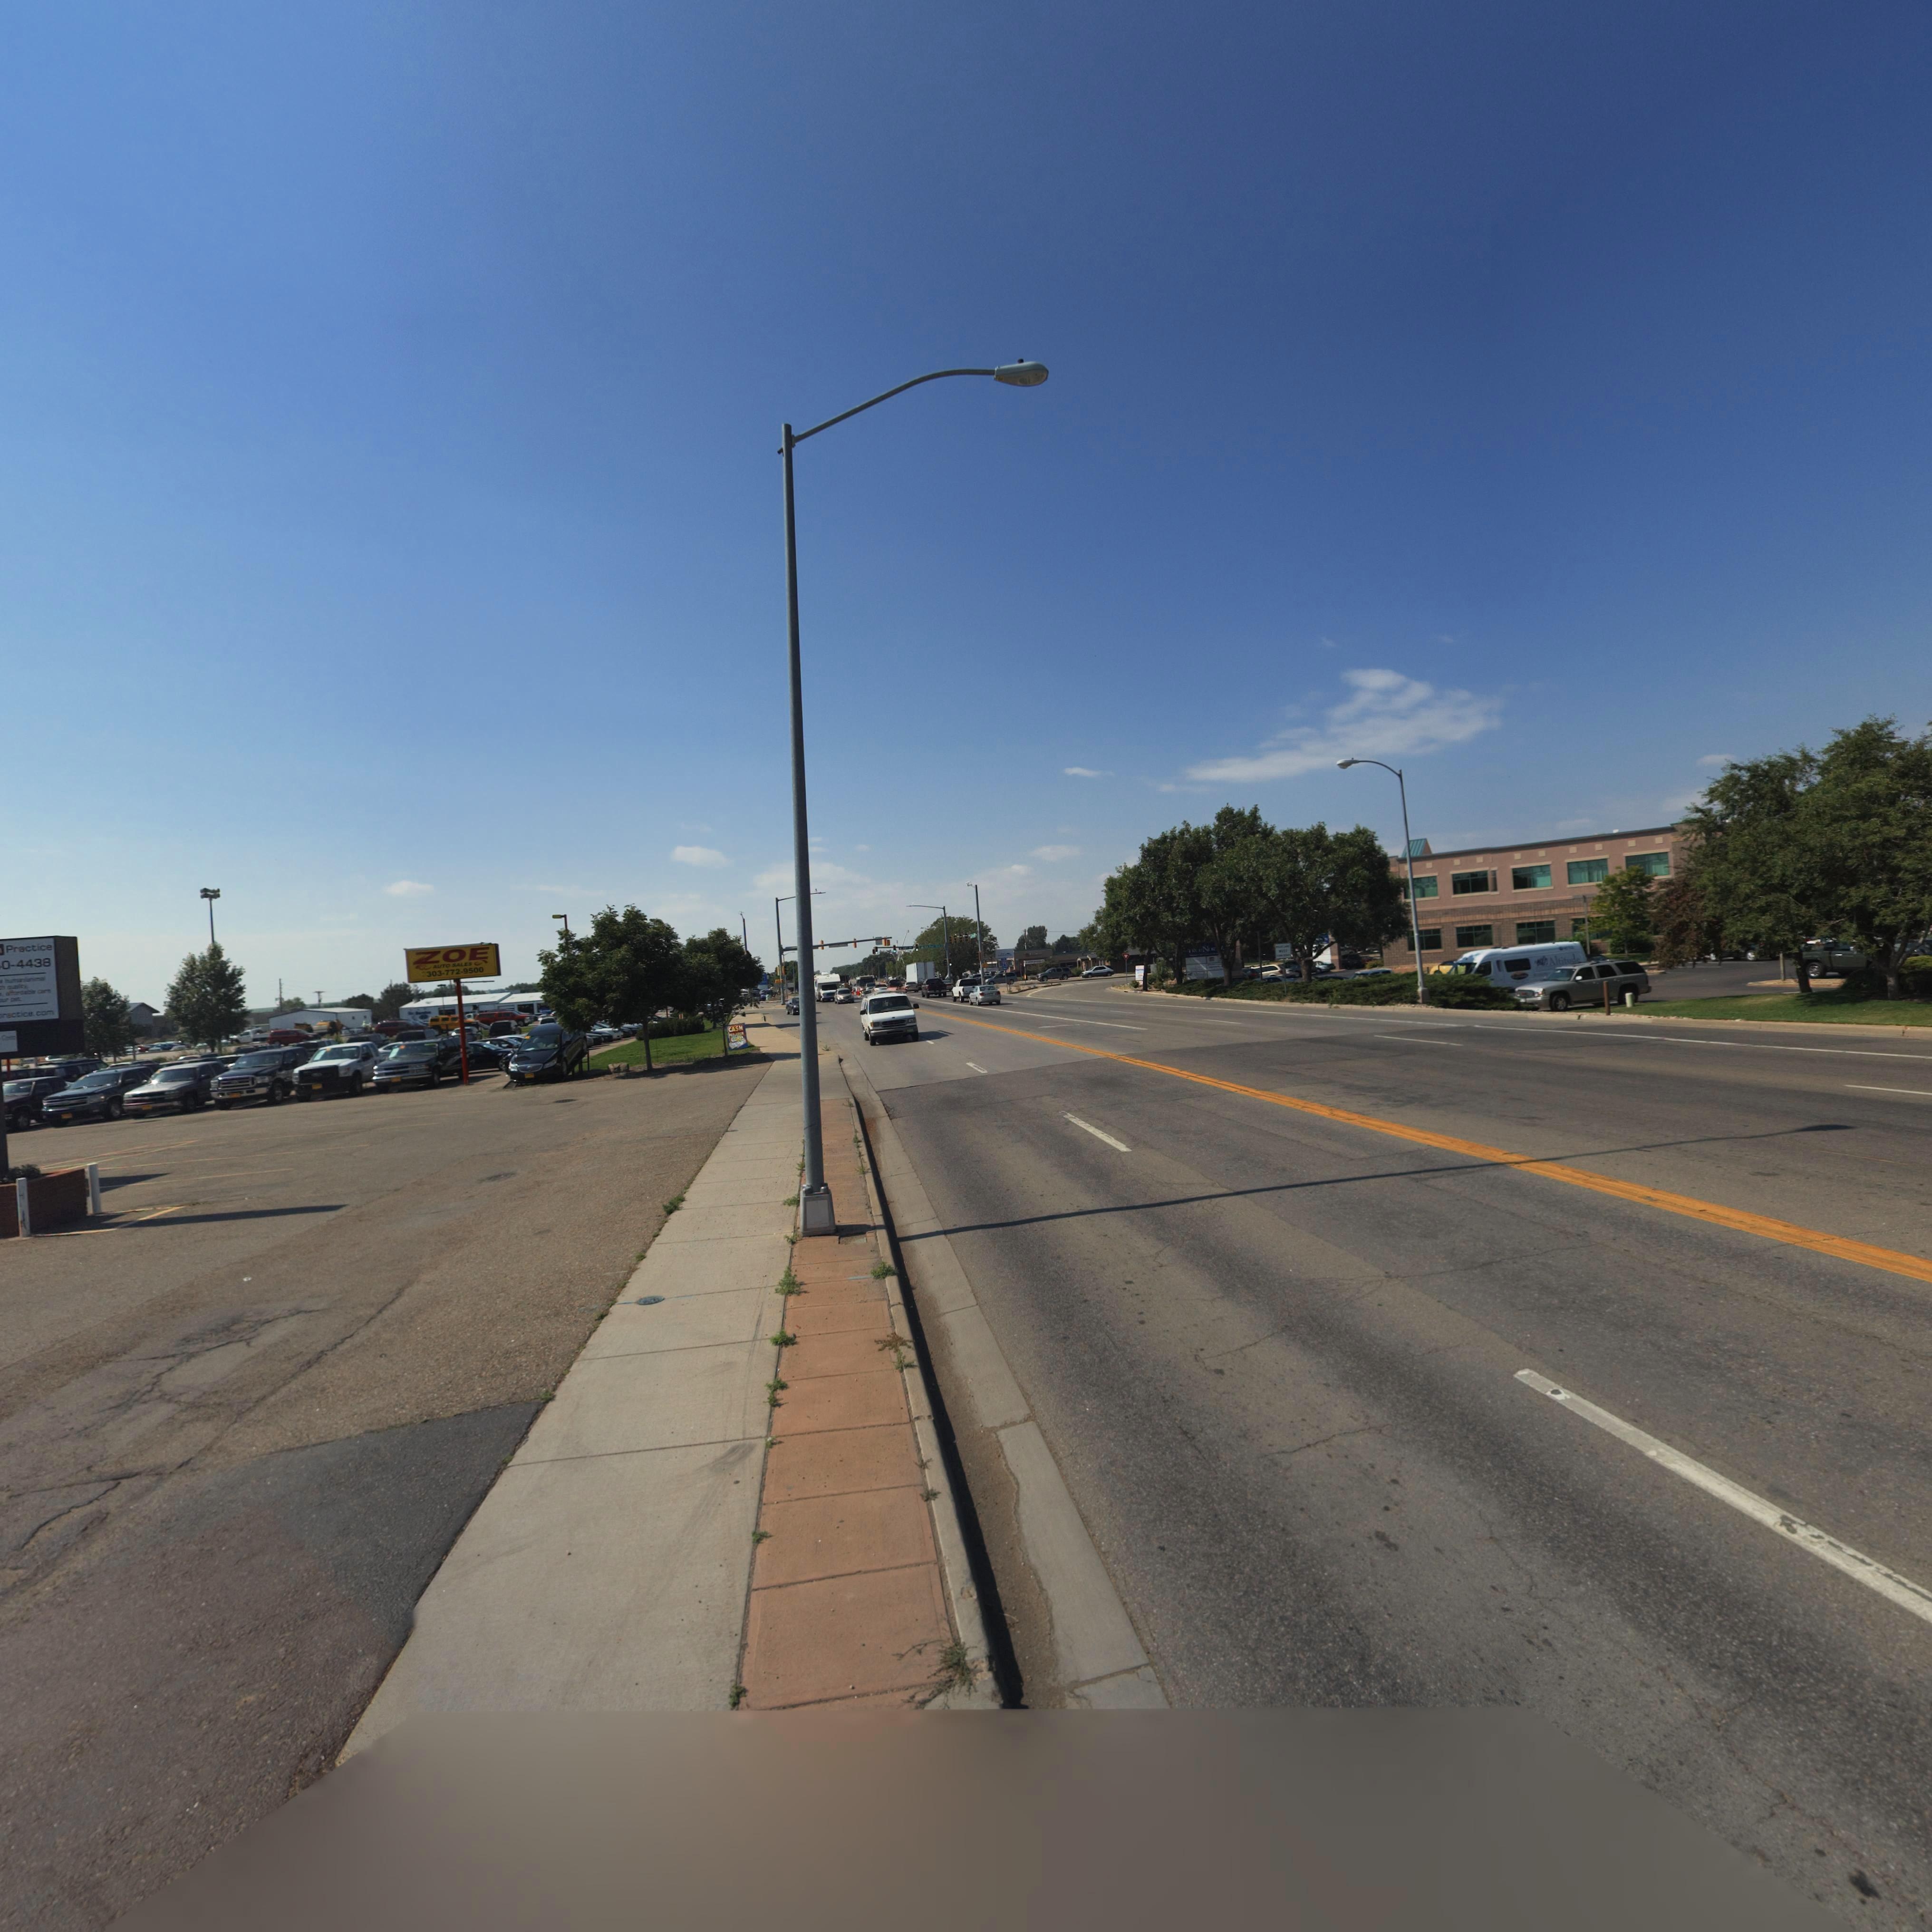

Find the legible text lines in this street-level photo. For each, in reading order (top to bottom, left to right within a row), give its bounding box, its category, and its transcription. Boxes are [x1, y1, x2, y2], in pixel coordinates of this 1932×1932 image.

[5, 942, 52, 953] BusinessName: Practice
[412, 946, 490, 965] BusinessName: ZOE
[432, 961, 472, 969] BusinessName: AUTO SALES